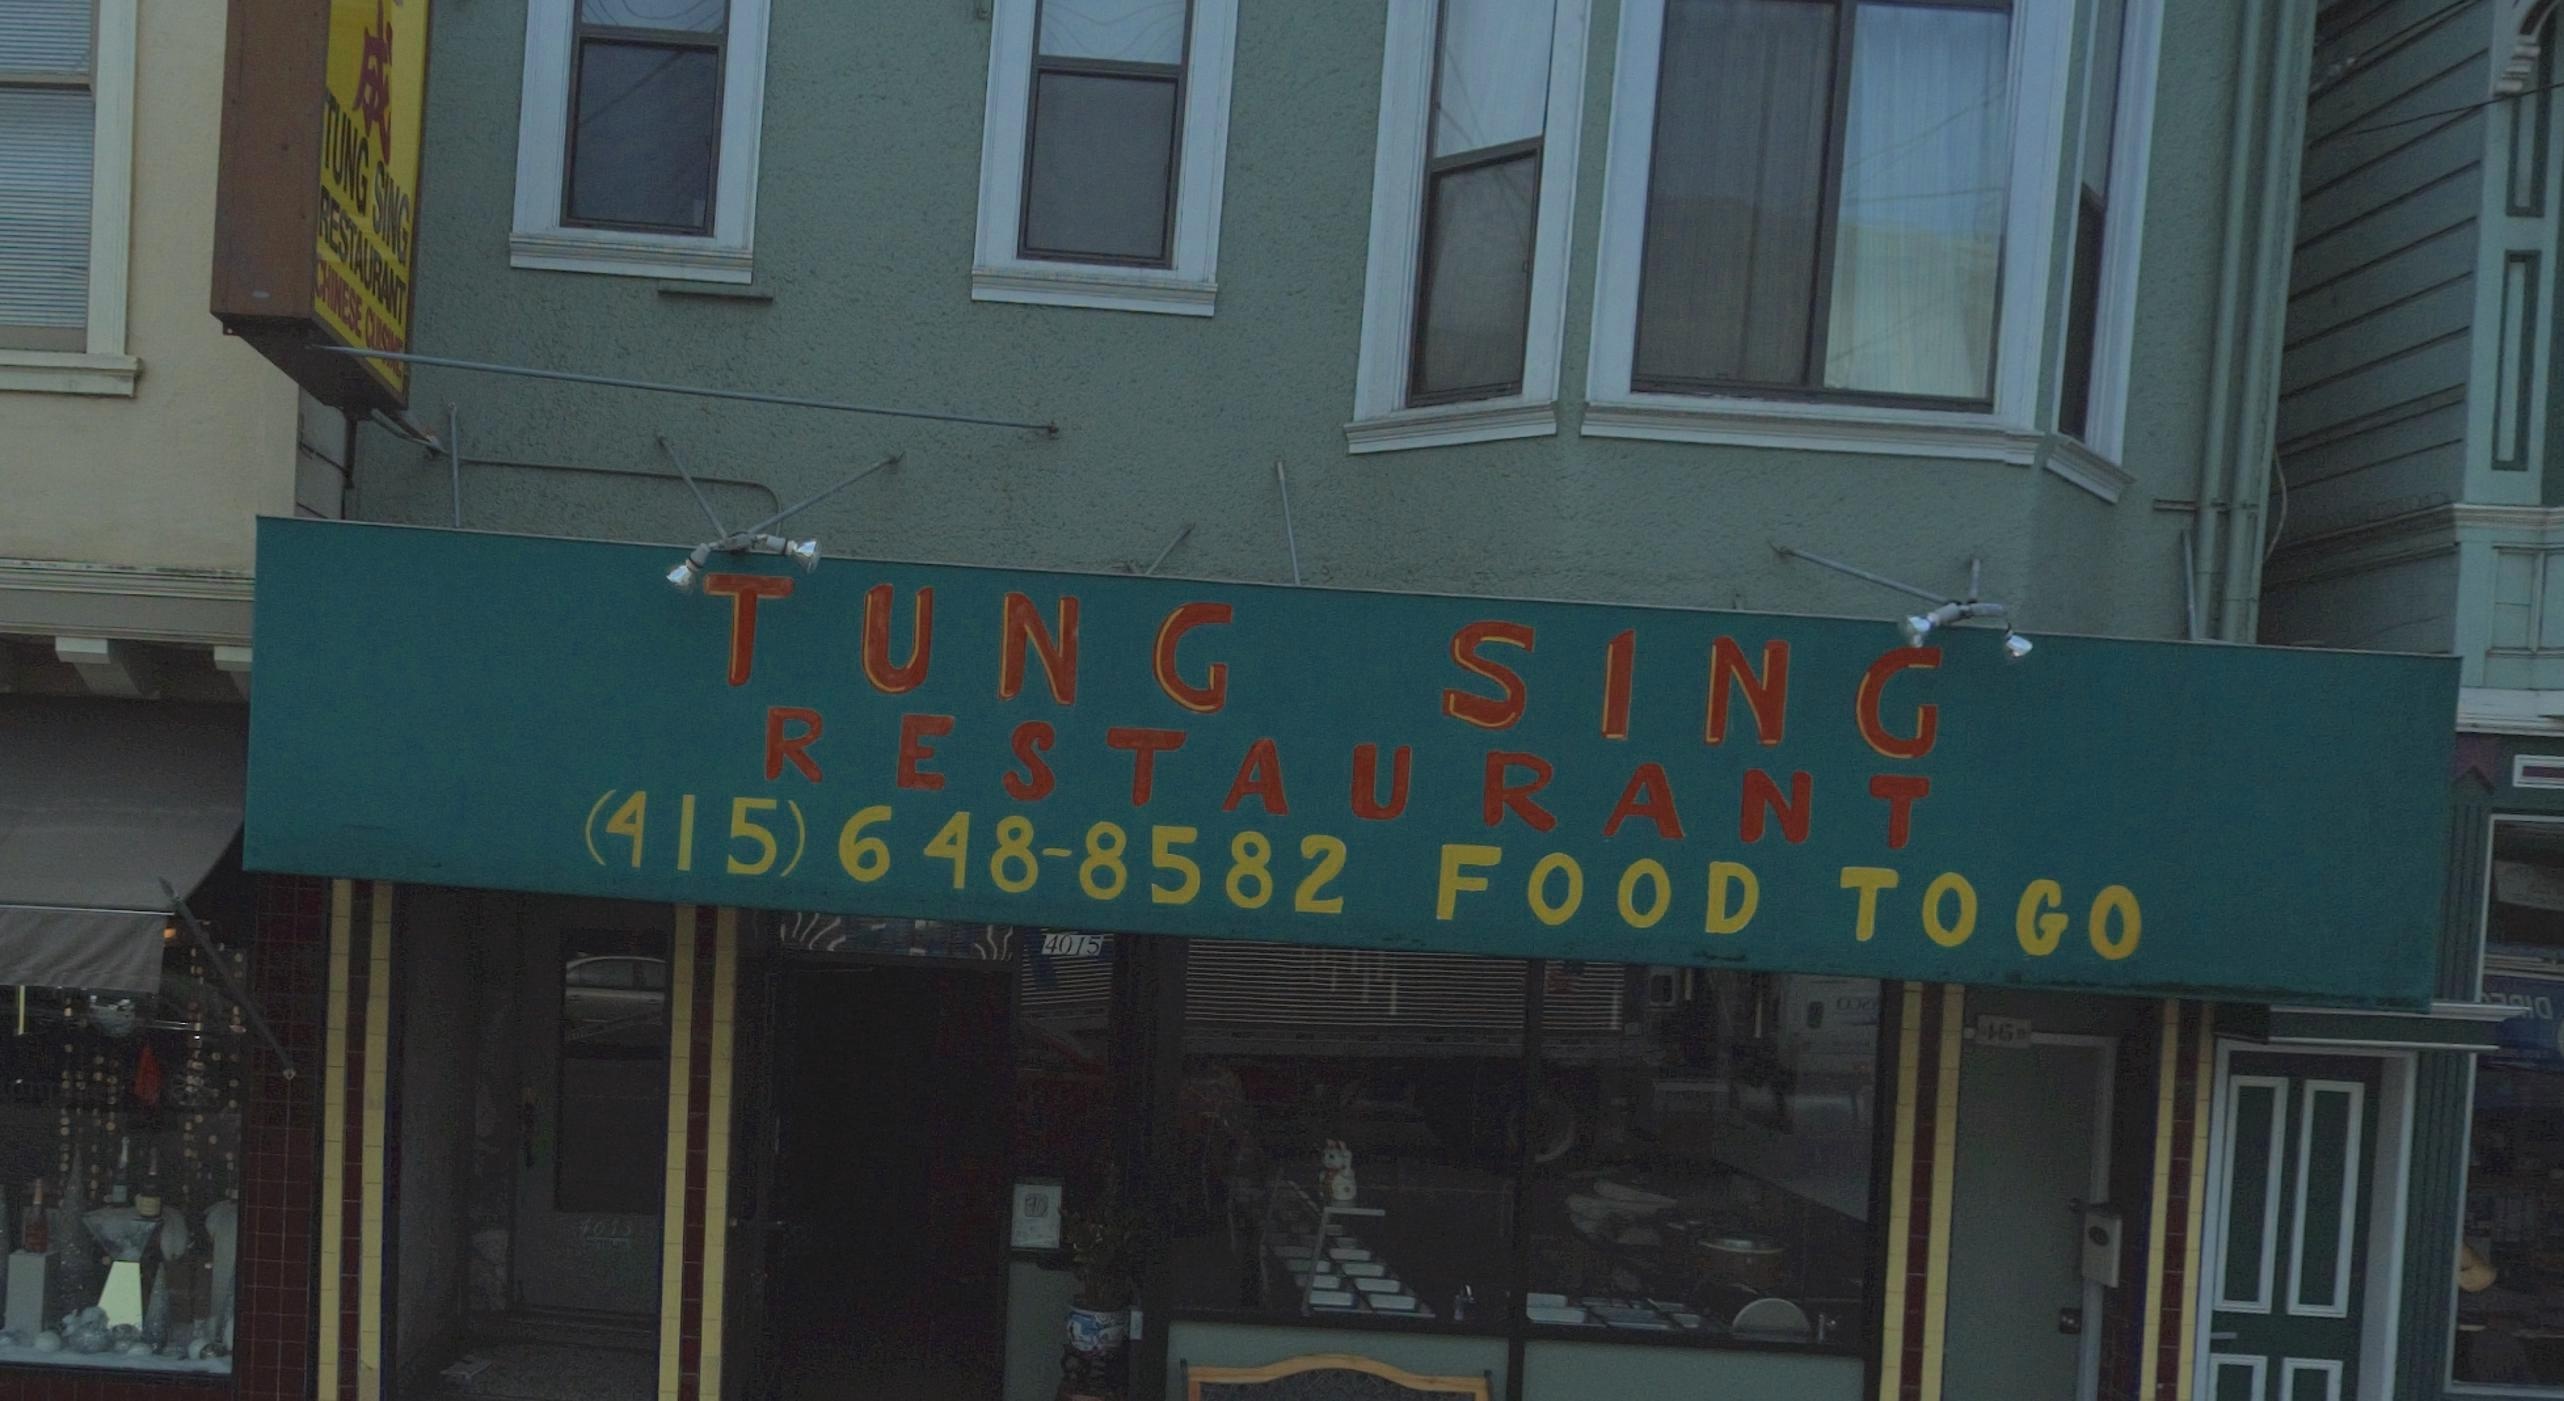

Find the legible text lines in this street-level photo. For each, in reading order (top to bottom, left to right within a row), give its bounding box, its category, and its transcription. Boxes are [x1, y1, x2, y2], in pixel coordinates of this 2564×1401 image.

[322, 84, 412, 273] BusinessName: TUNG SING
[314, 248, 405, 386] BusinessName: CHINESE CUISINE
[317, 178, 408, 332] BusinessName: RESTAURANT
[693, 560, 1947, 766] BusinessName: TUNG SING
[757, 701, 1938, 862] BusinessName: RESTAURANT
[1041, 933, 1104, 955] StreetNumber: 4015
[577, 781, 2148, 976] None: (415)648-8582 FOOD TO GO
[1835, 993, 1877, 1012] None: O**
[1980, 1017, 2028, 1045] StreetNumber: 15B
[577, 1217, 634, 1240] StreetNumber: 4013
[1023, 1193, 1051, 1217] None: 90